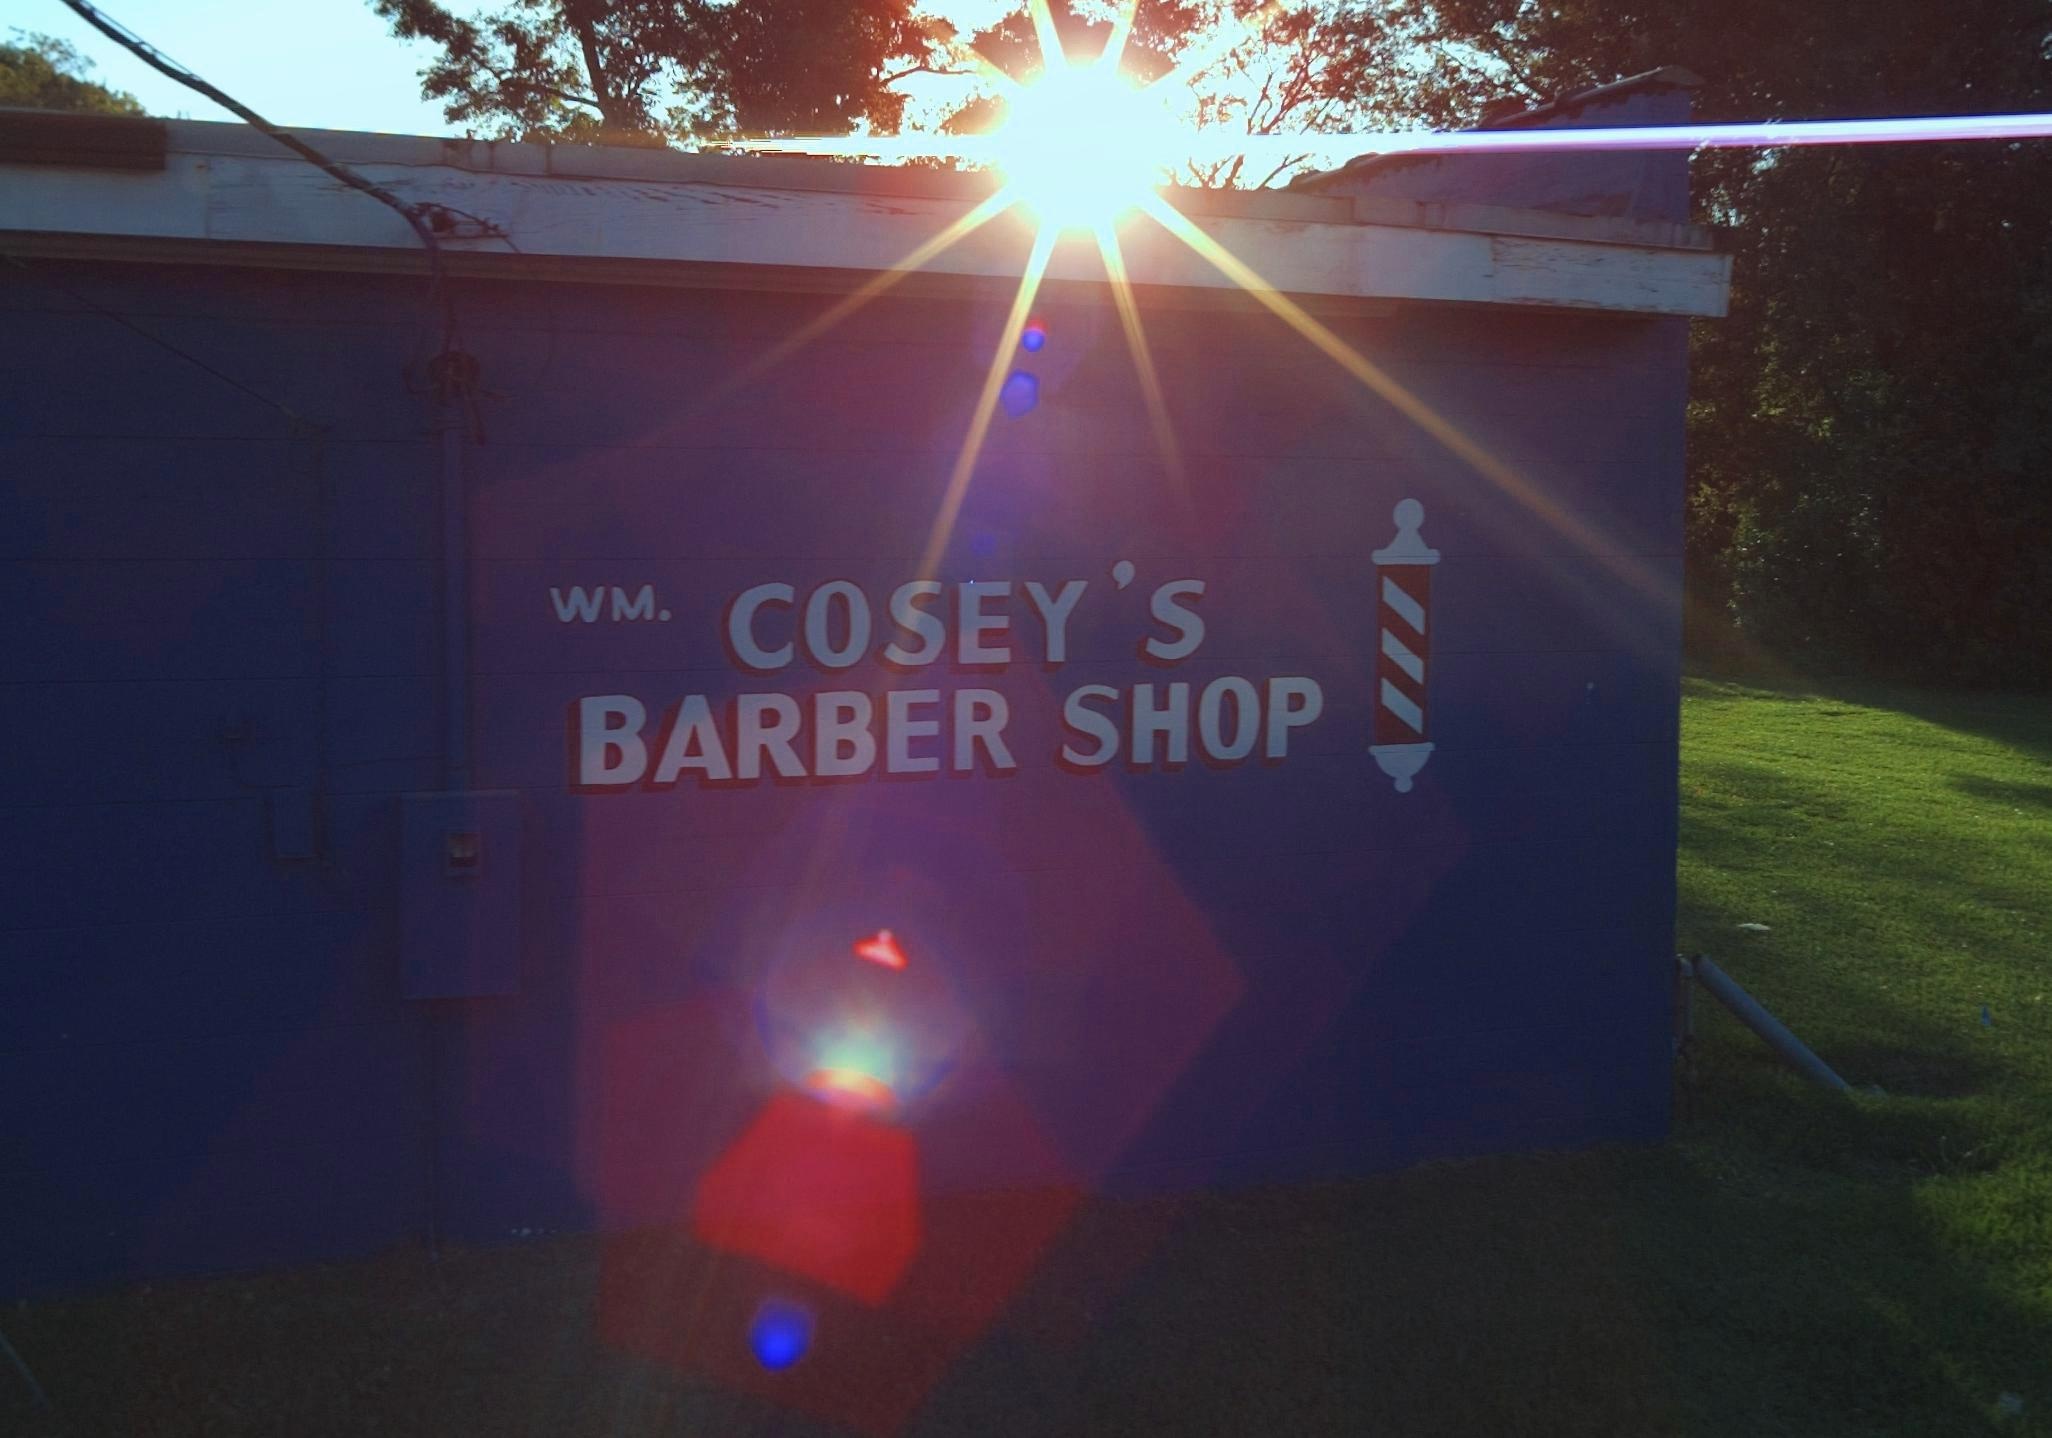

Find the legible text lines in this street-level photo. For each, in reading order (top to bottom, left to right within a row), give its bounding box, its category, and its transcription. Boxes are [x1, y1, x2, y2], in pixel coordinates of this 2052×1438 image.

[540, 578, 678, 632] None: WM.
[721, 554, 1211, 675] BusinessName: COSEY'S
[574, 669, 1332, 793] BusinessName: BARBER SHOP